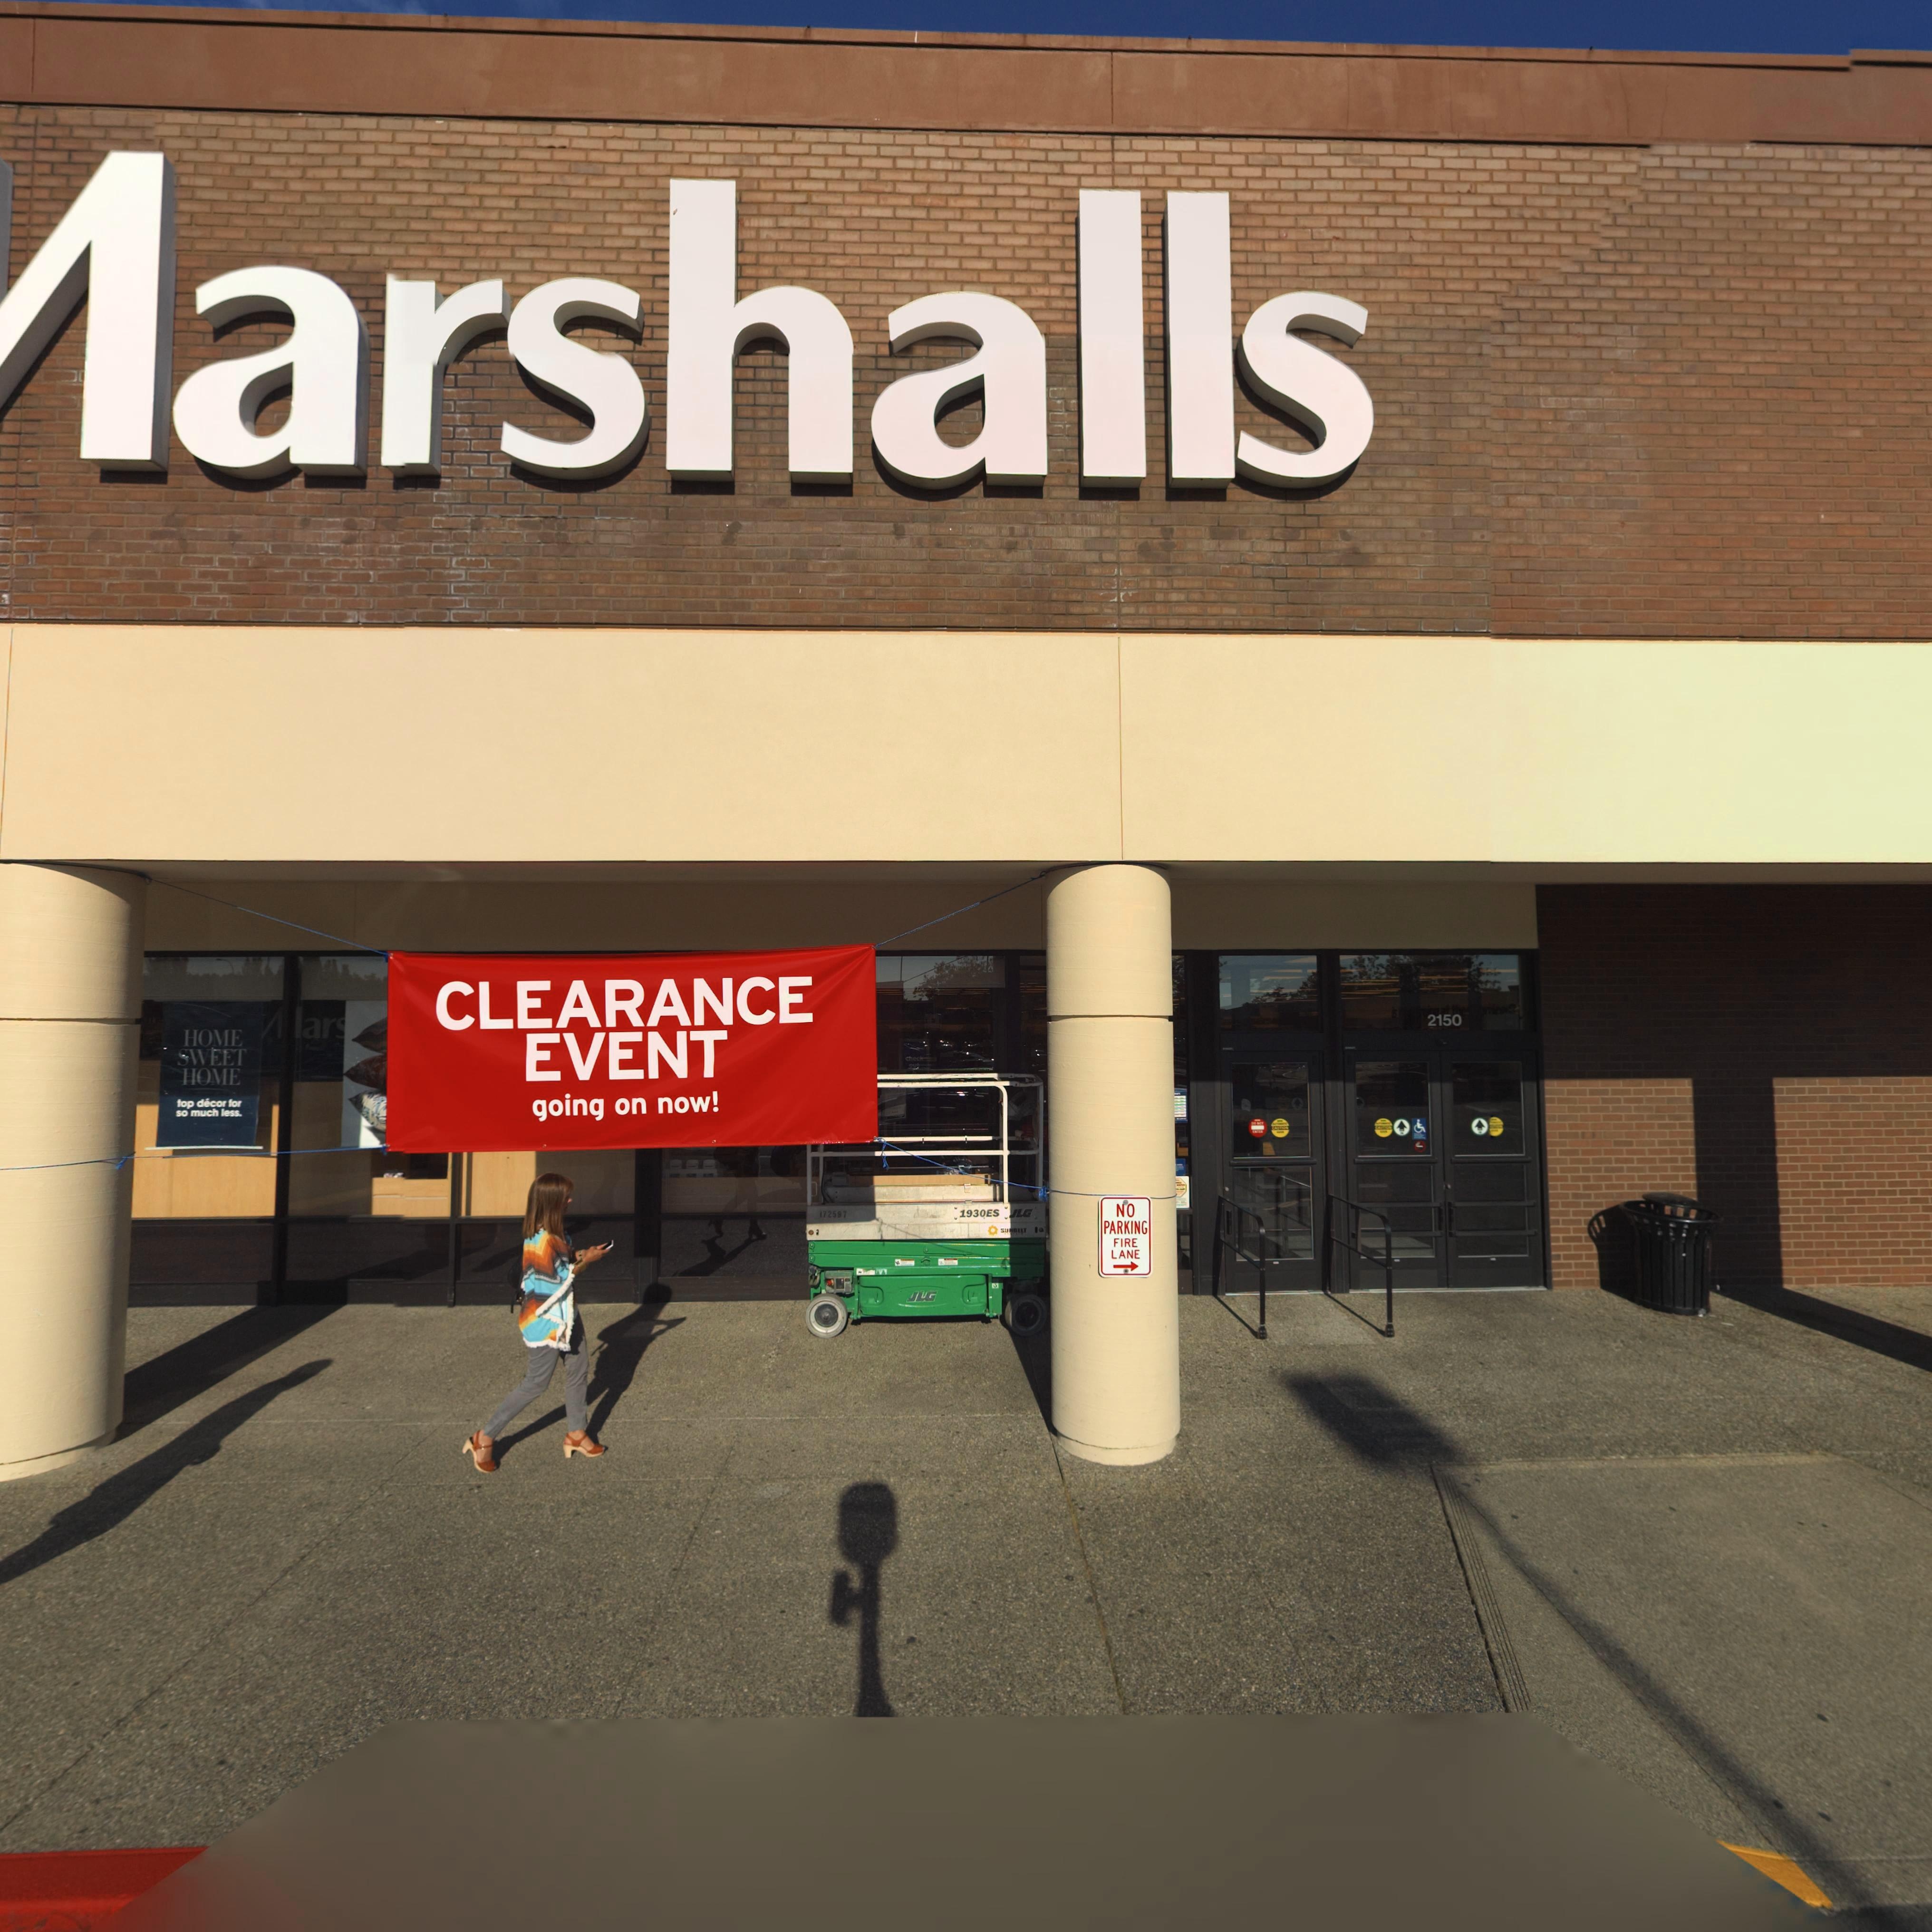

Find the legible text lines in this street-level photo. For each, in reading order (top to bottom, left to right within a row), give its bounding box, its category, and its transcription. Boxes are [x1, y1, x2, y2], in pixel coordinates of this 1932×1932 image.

[1426, 1012, 1462, 1027] StreetNumber: 2150